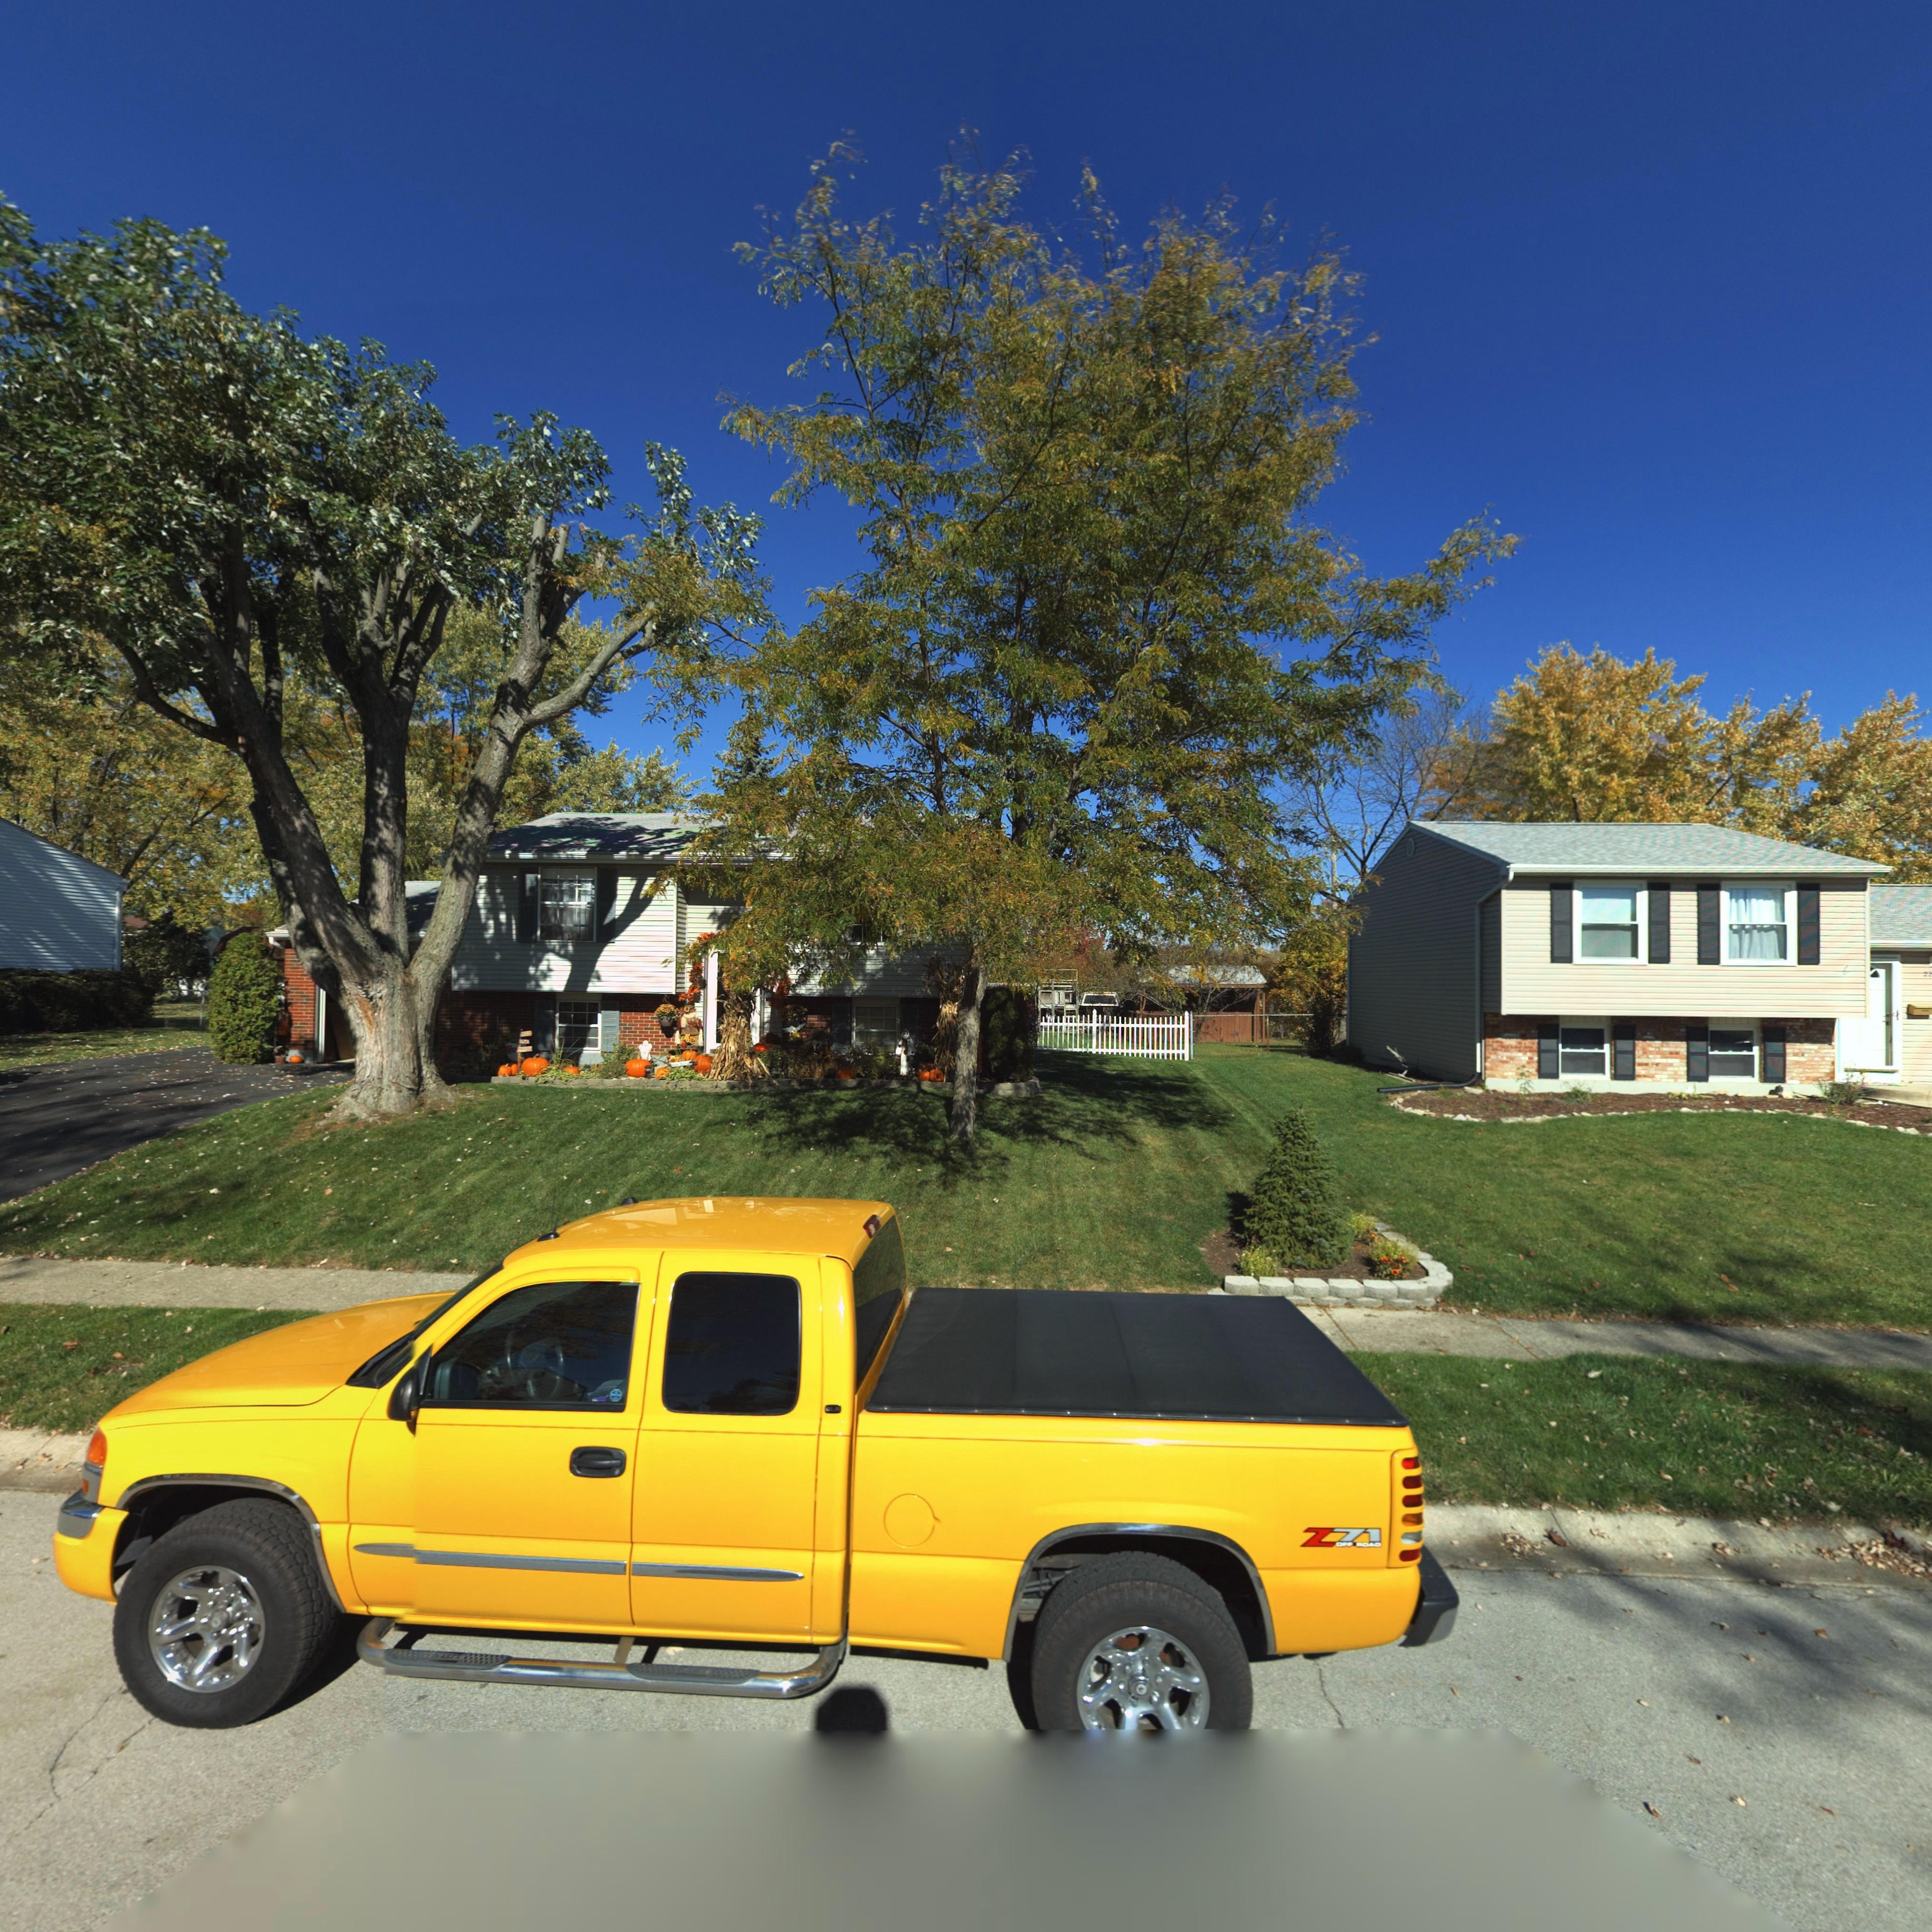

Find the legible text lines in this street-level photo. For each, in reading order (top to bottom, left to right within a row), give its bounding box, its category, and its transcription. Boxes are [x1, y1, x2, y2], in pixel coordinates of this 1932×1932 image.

[1922, 971, 1929, 977] StreetNumber: 2